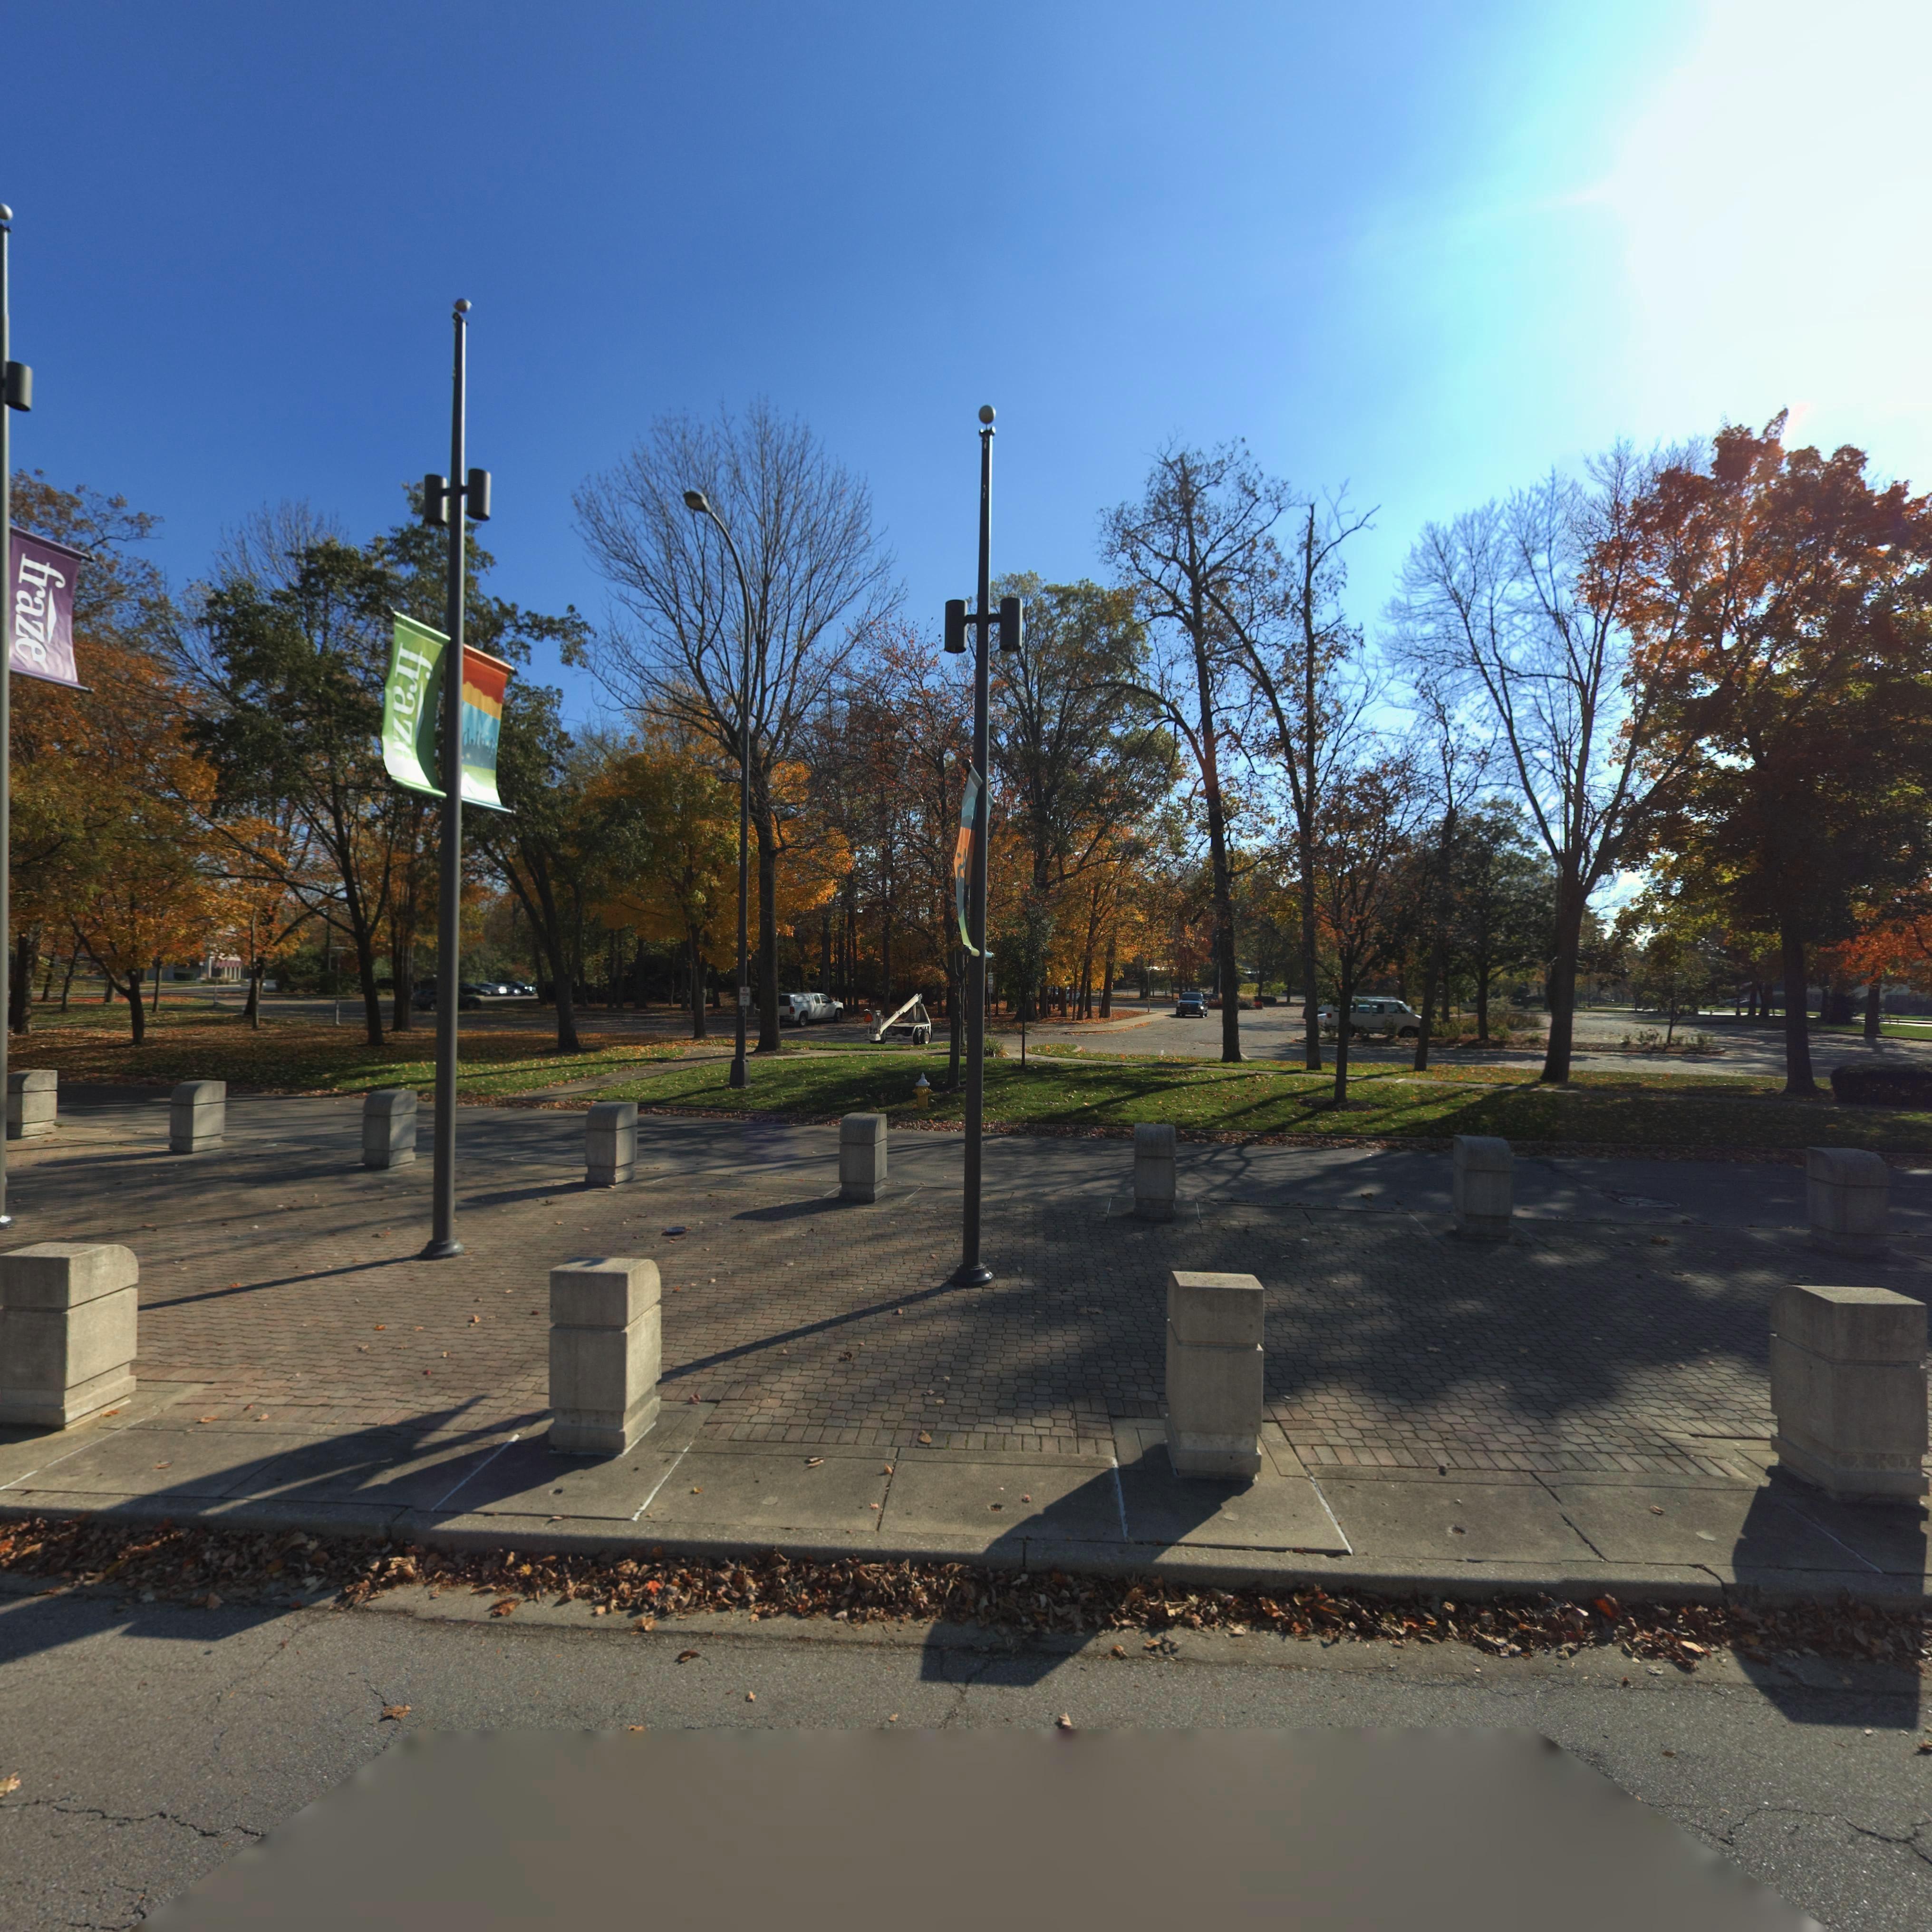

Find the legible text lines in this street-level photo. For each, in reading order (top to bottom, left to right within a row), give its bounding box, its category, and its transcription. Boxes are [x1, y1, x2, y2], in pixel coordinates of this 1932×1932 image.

[742, 988, 747, 992] None: NO
[739, 992, 749, 996] None: PARKING